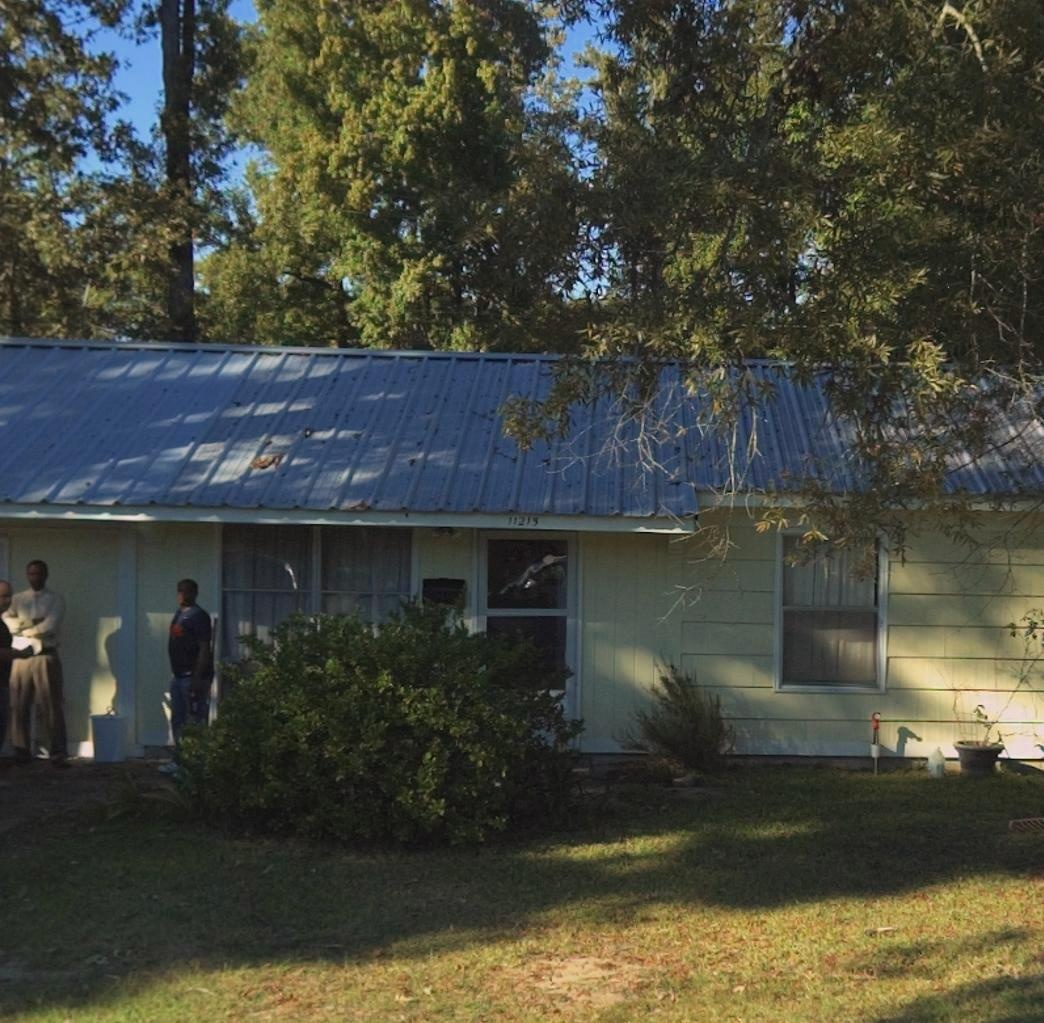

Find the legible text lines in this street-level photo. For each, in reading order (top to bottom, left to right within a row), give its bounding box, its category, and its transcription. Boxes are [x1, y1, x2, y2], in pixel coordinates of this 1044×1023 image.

[507, 515, 540, 527] StreetNumber: 11215